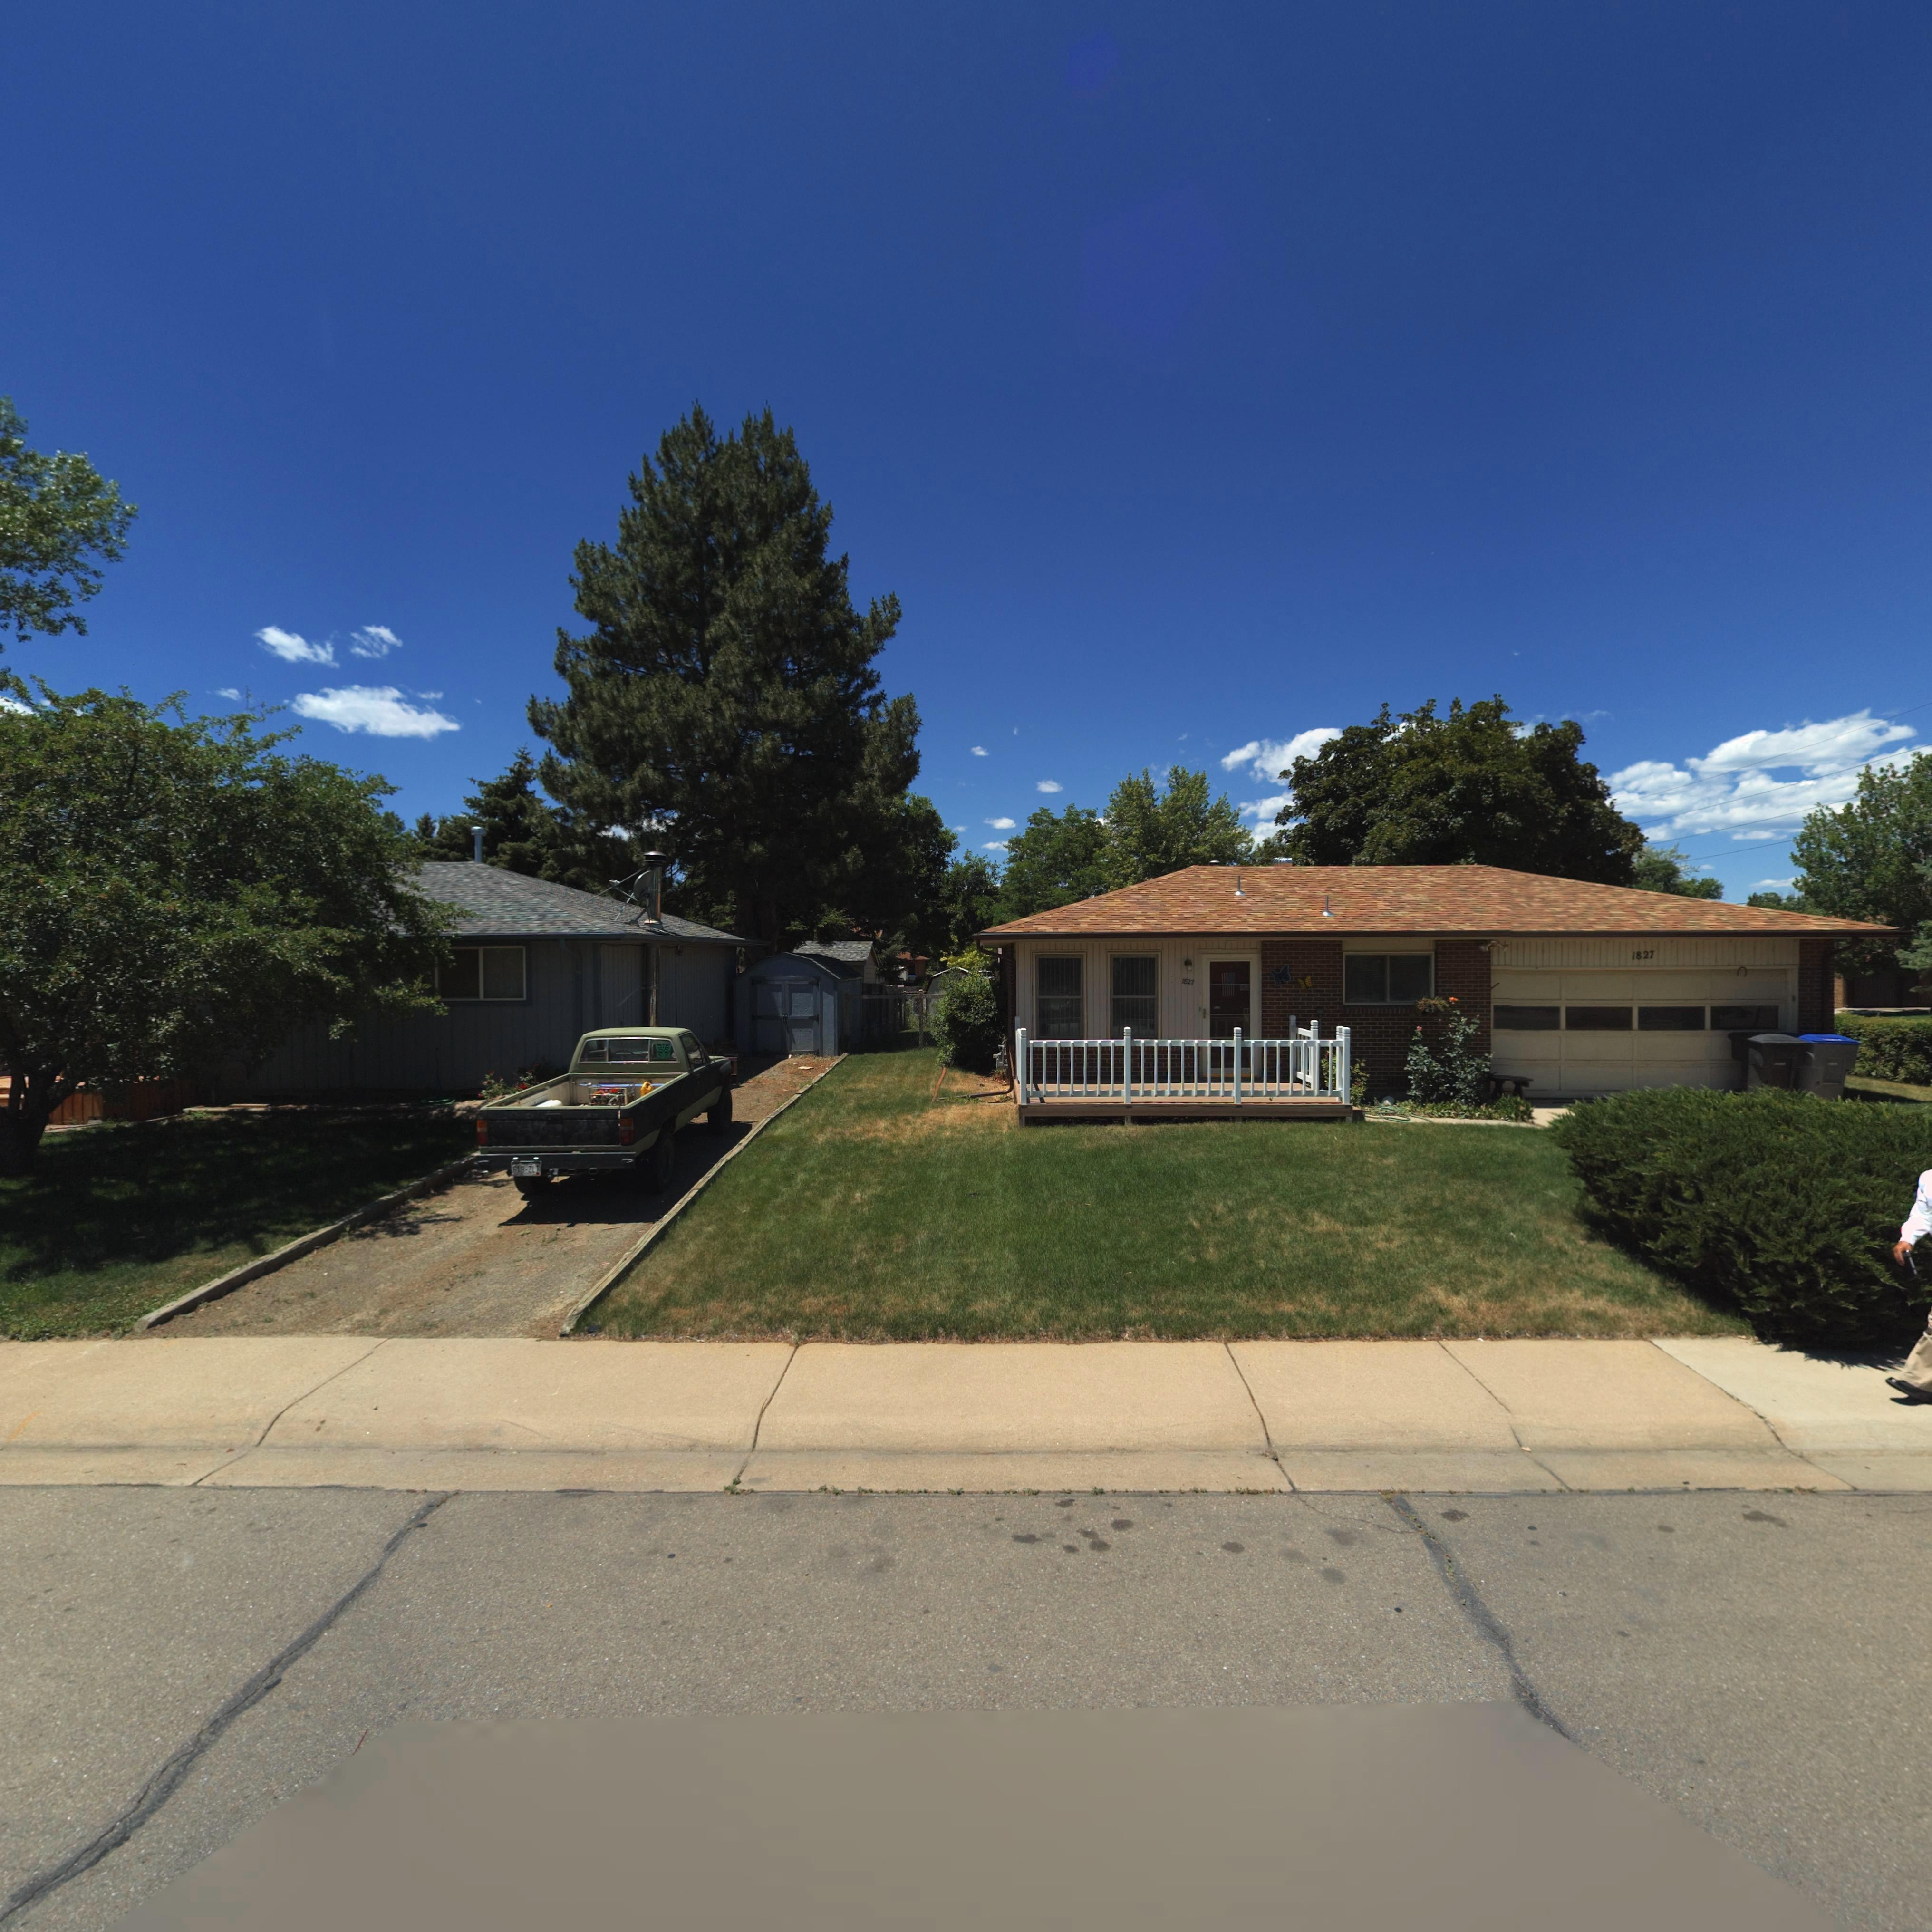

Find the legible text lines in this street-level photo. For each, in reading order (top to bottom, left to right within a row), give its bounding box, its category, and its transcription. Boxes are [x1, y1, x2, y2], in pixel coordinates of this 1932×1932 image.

[1631, 949, 1655, 961] StreetNumber: 1827
[1180, 977, 1195, 986] StreetNumber: 1827